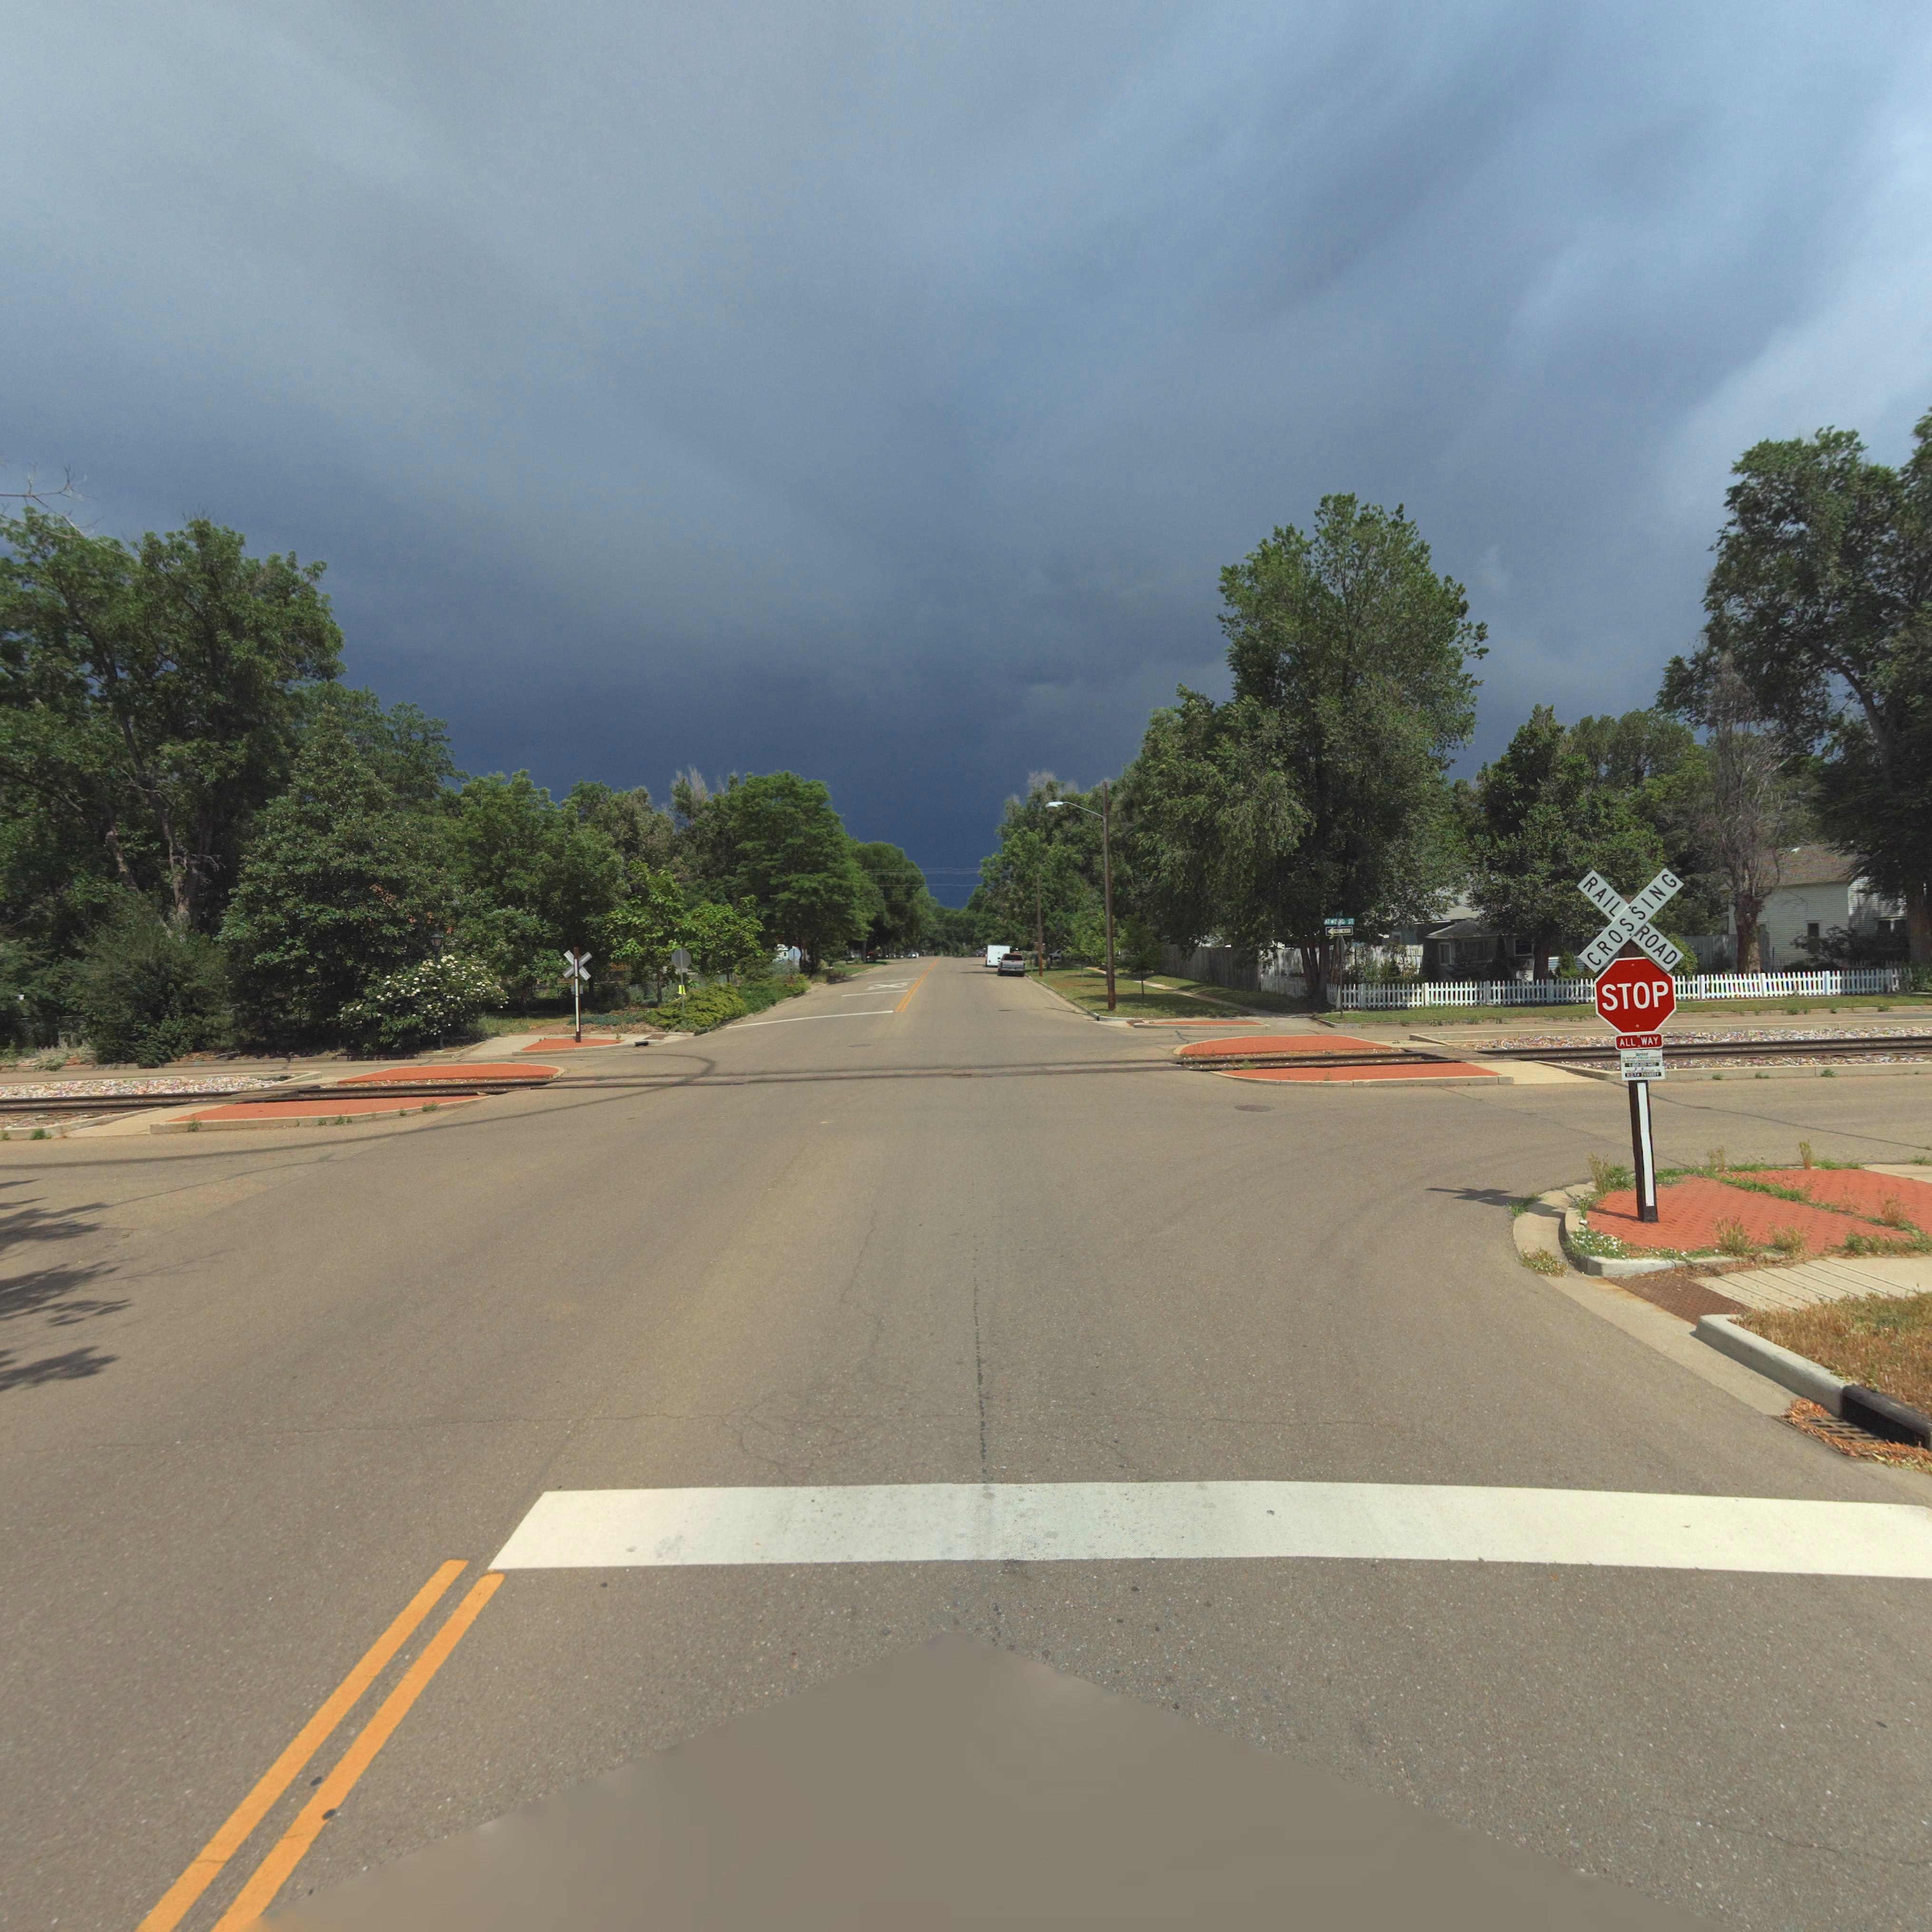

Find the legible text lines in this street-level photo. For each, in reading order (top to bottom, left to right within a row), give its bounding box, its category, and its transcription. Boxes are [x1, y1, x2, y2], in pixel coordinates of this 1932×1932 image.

[1323, 918, 1353, 924] StreetName: ATWOOD ST